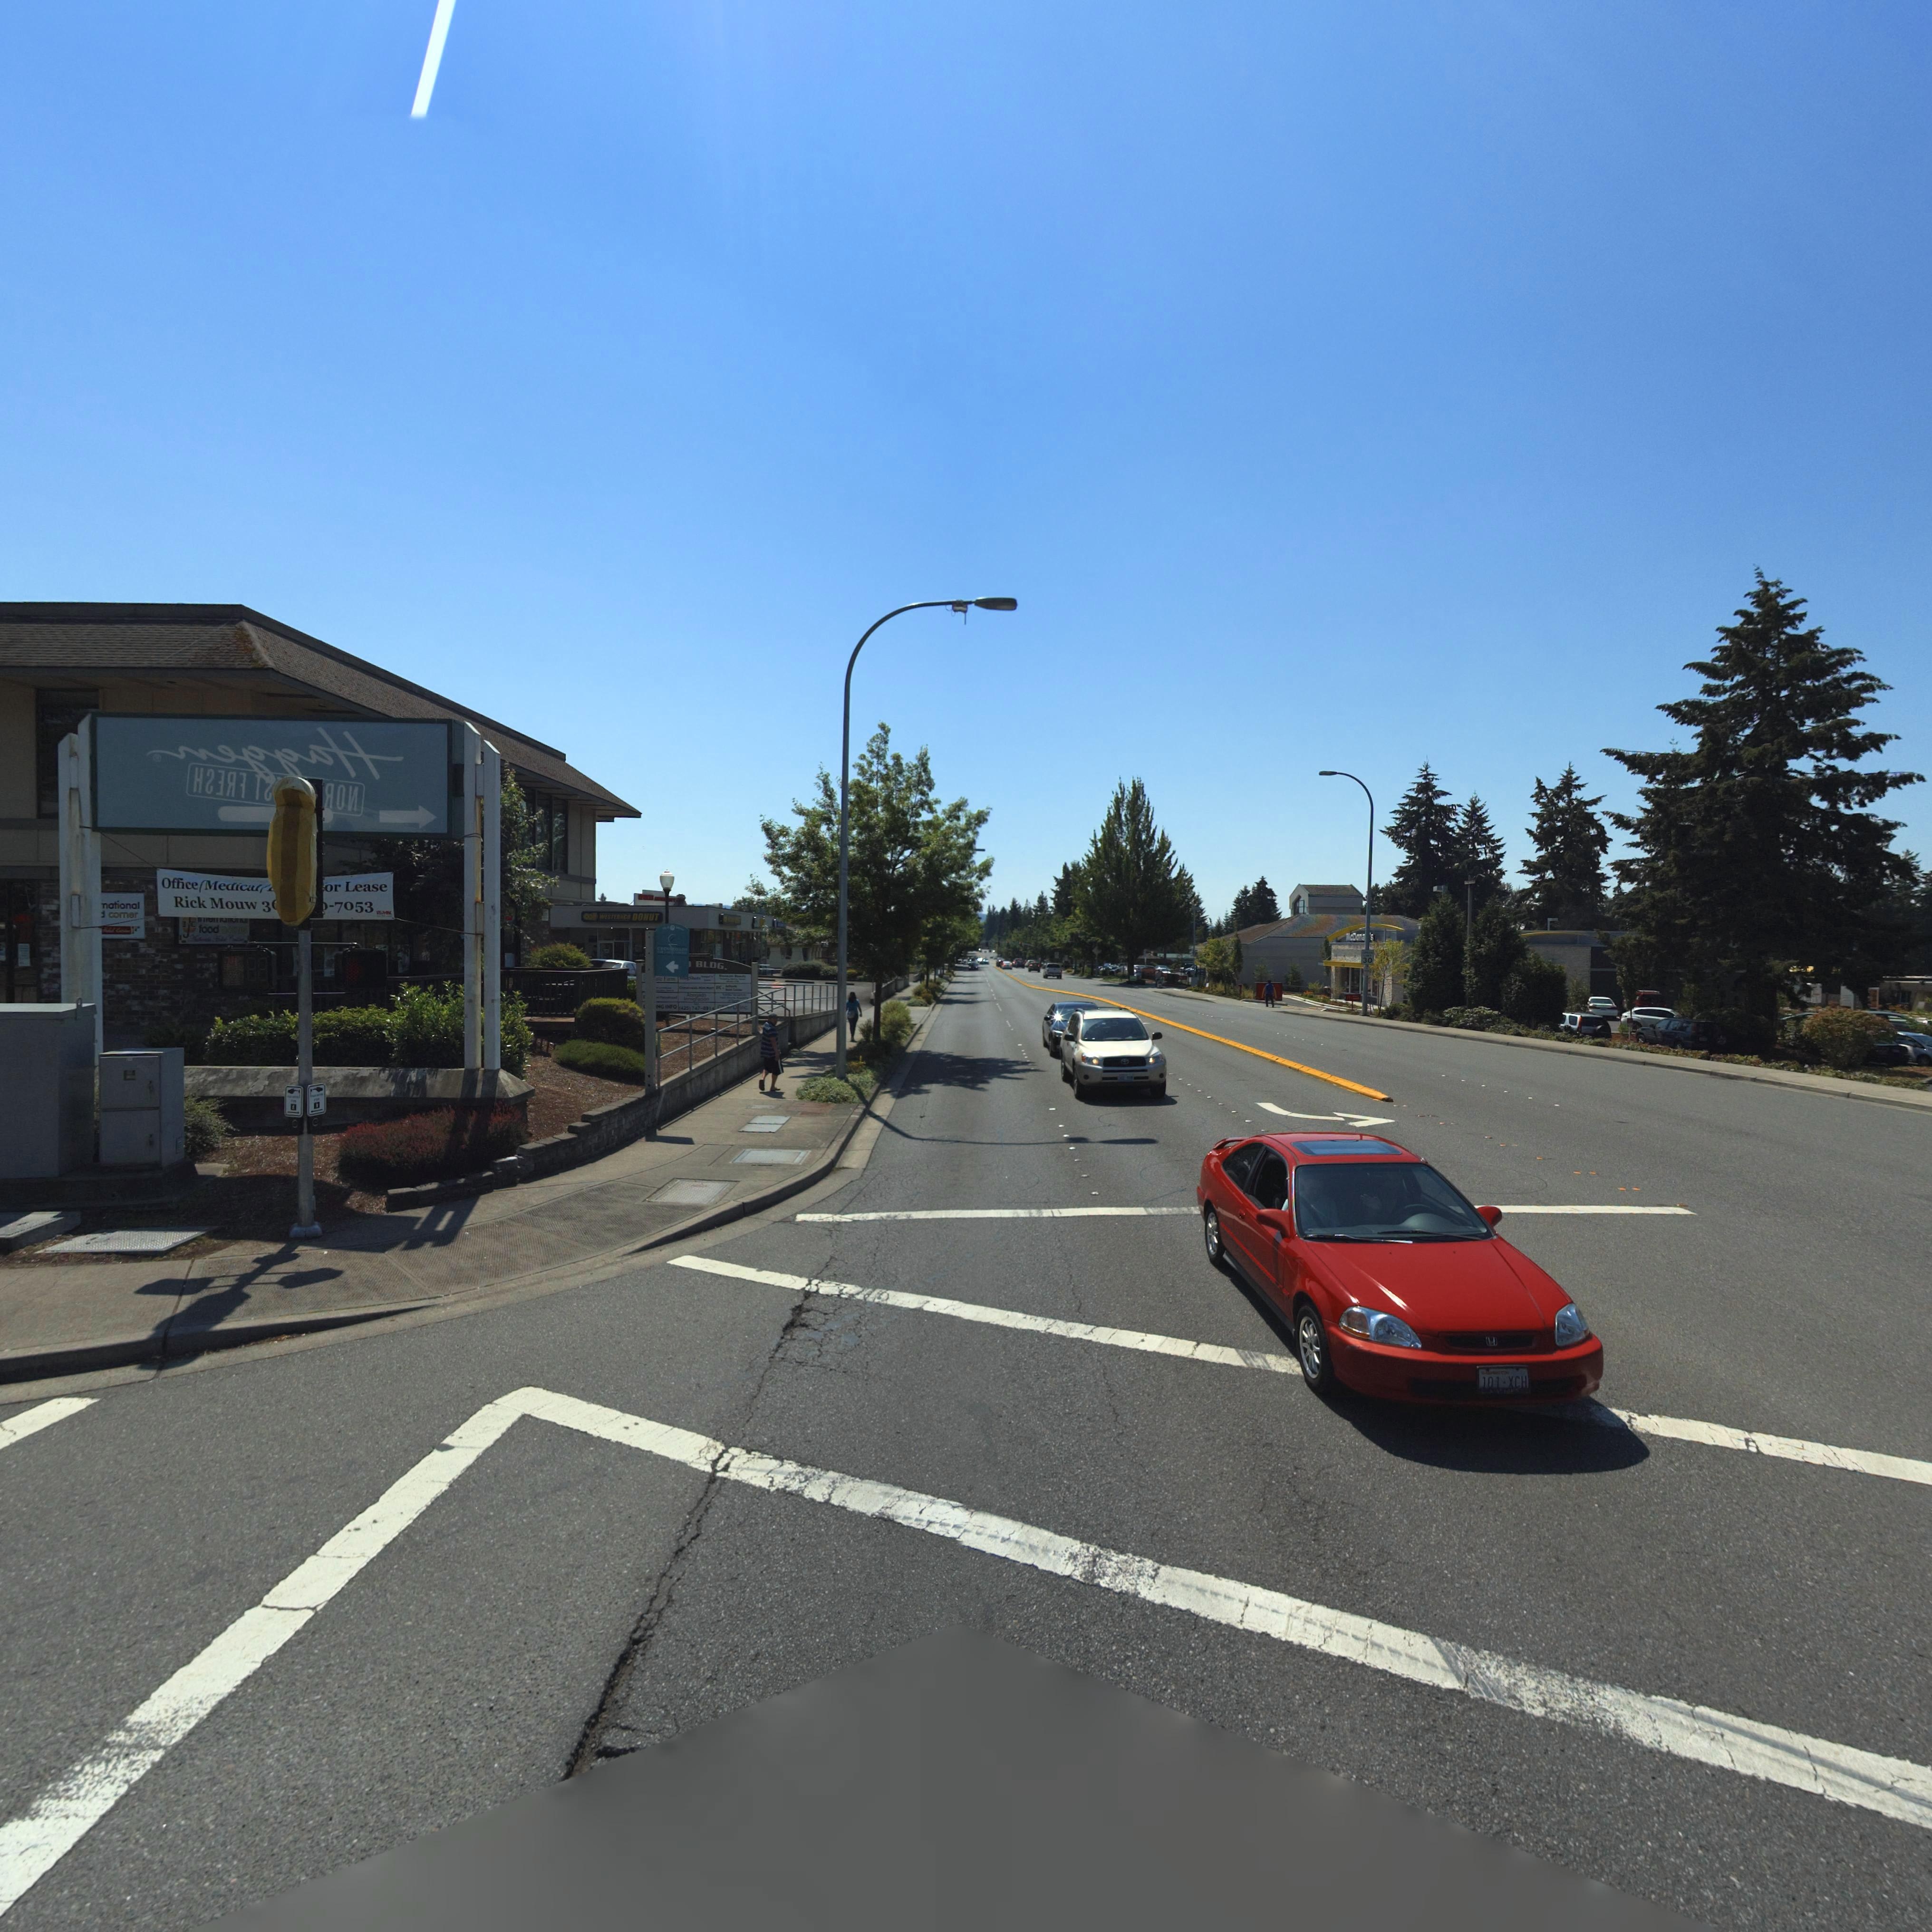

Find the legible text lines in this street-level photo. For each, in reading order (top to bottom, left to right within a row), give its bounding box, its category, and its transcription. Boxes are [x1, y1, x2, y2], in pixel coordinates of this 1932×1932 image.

[108, 899, 140, 910] BusinessName: ational
[109, 911, 139, 919] BusinessName: corner
[599, 912, 660, 922] BusinessName: WETERNCO DONUT
[198, 924, 220, 934] BusinessName: food